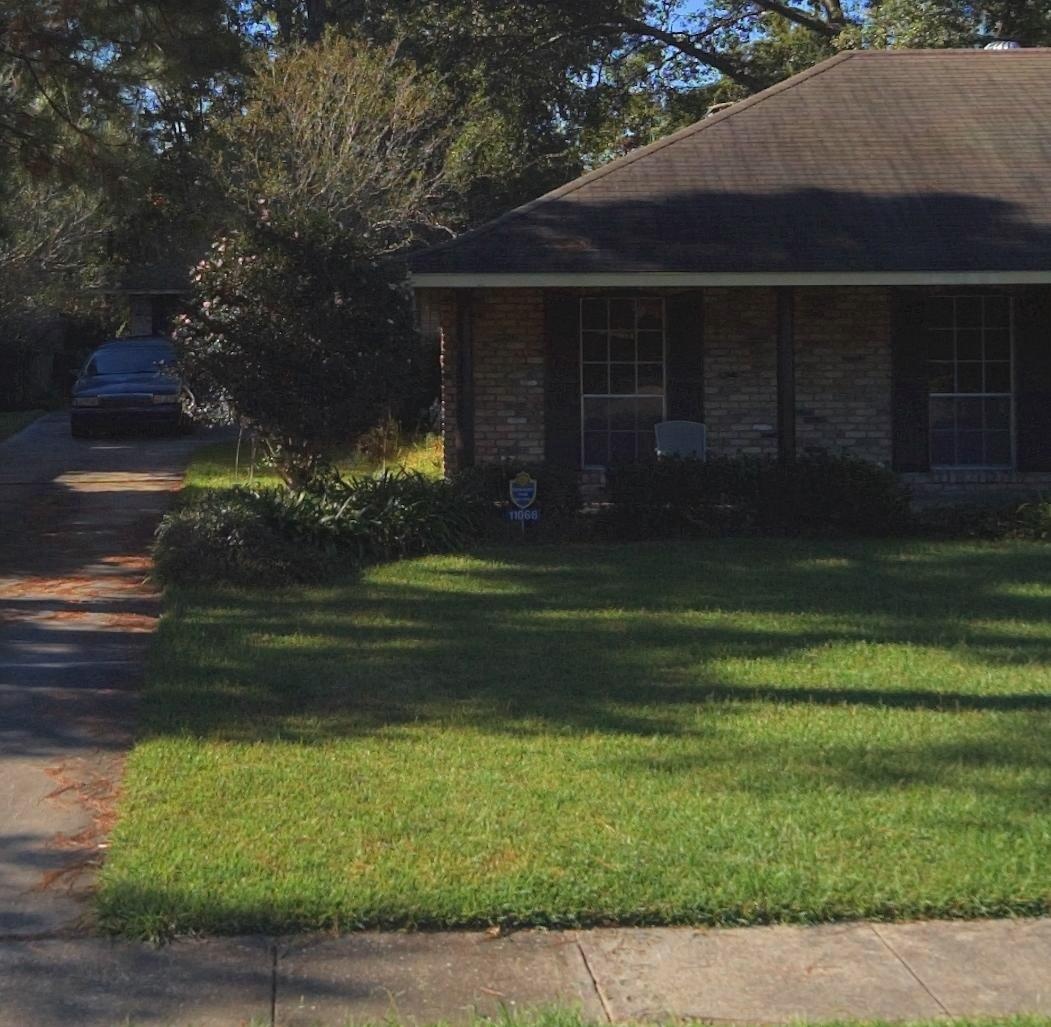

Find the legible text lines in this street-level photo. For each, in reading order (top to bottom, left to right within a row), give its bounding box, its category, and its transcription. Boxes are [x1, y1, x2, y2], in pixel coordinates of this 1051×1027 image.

[507, 507, 540, 523] StreetNumber: 11068